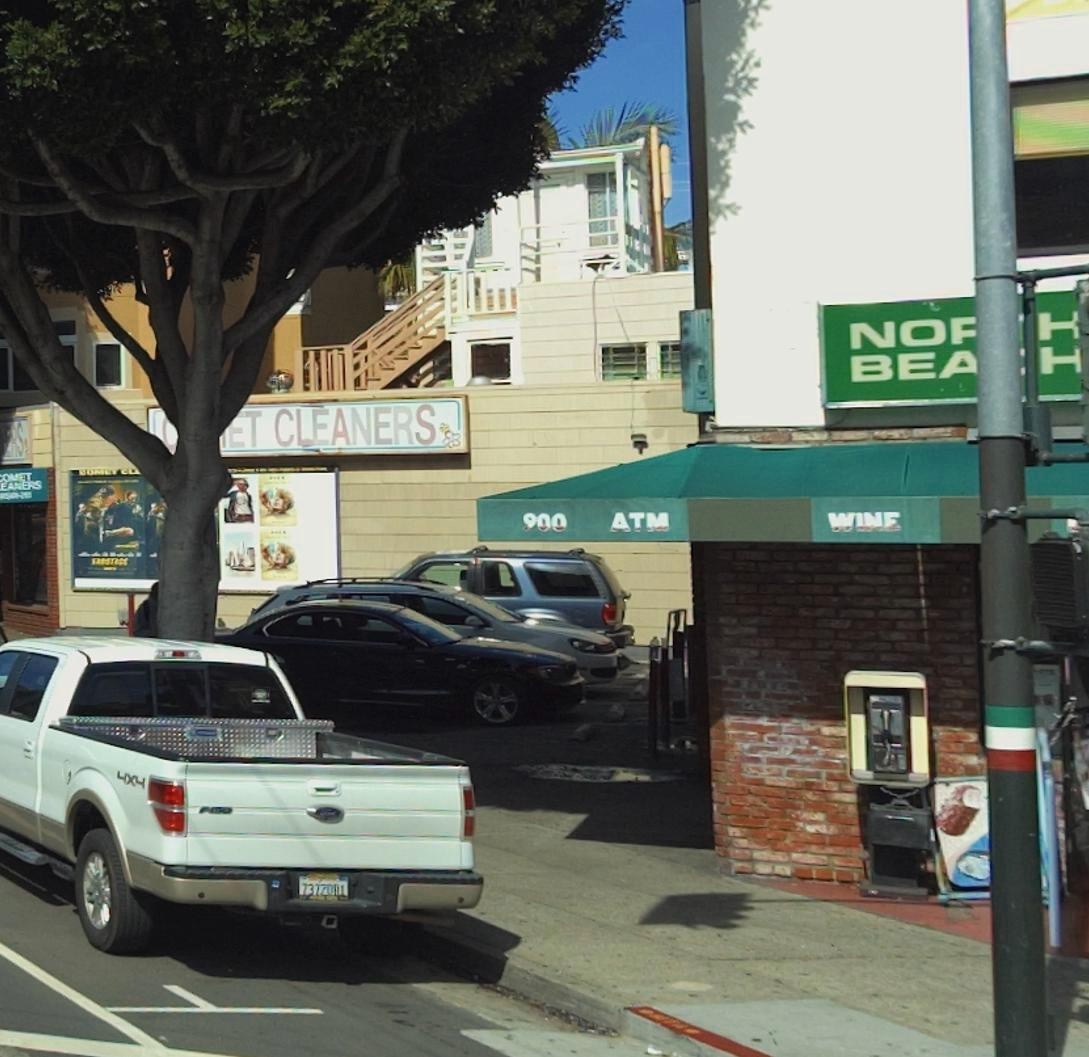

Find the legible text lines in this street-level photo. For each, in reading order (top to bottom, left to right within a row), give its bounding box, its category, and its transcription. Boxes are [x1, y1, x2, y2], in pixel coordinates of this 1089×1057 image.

[847, 316, 949, 353] None: NO
[848, 349, 938, 385] None: BE
[15, 418, 26, 458] None: S
[243, 402, 438, 449] BusinessName: T CLEANERS
[1, 470, 34, 484] None: OMET
[0, 478, 44, 491] None: E**ERS
[519, 511, 570, 534] StreetNumber: 900
[606, 510, 671, 535] None: ATM
[824, 509, 903, 535] None: WINE
[115, 768, 148, 792] None: 4x4
[299, 881, 346, 897] None: 73720A1